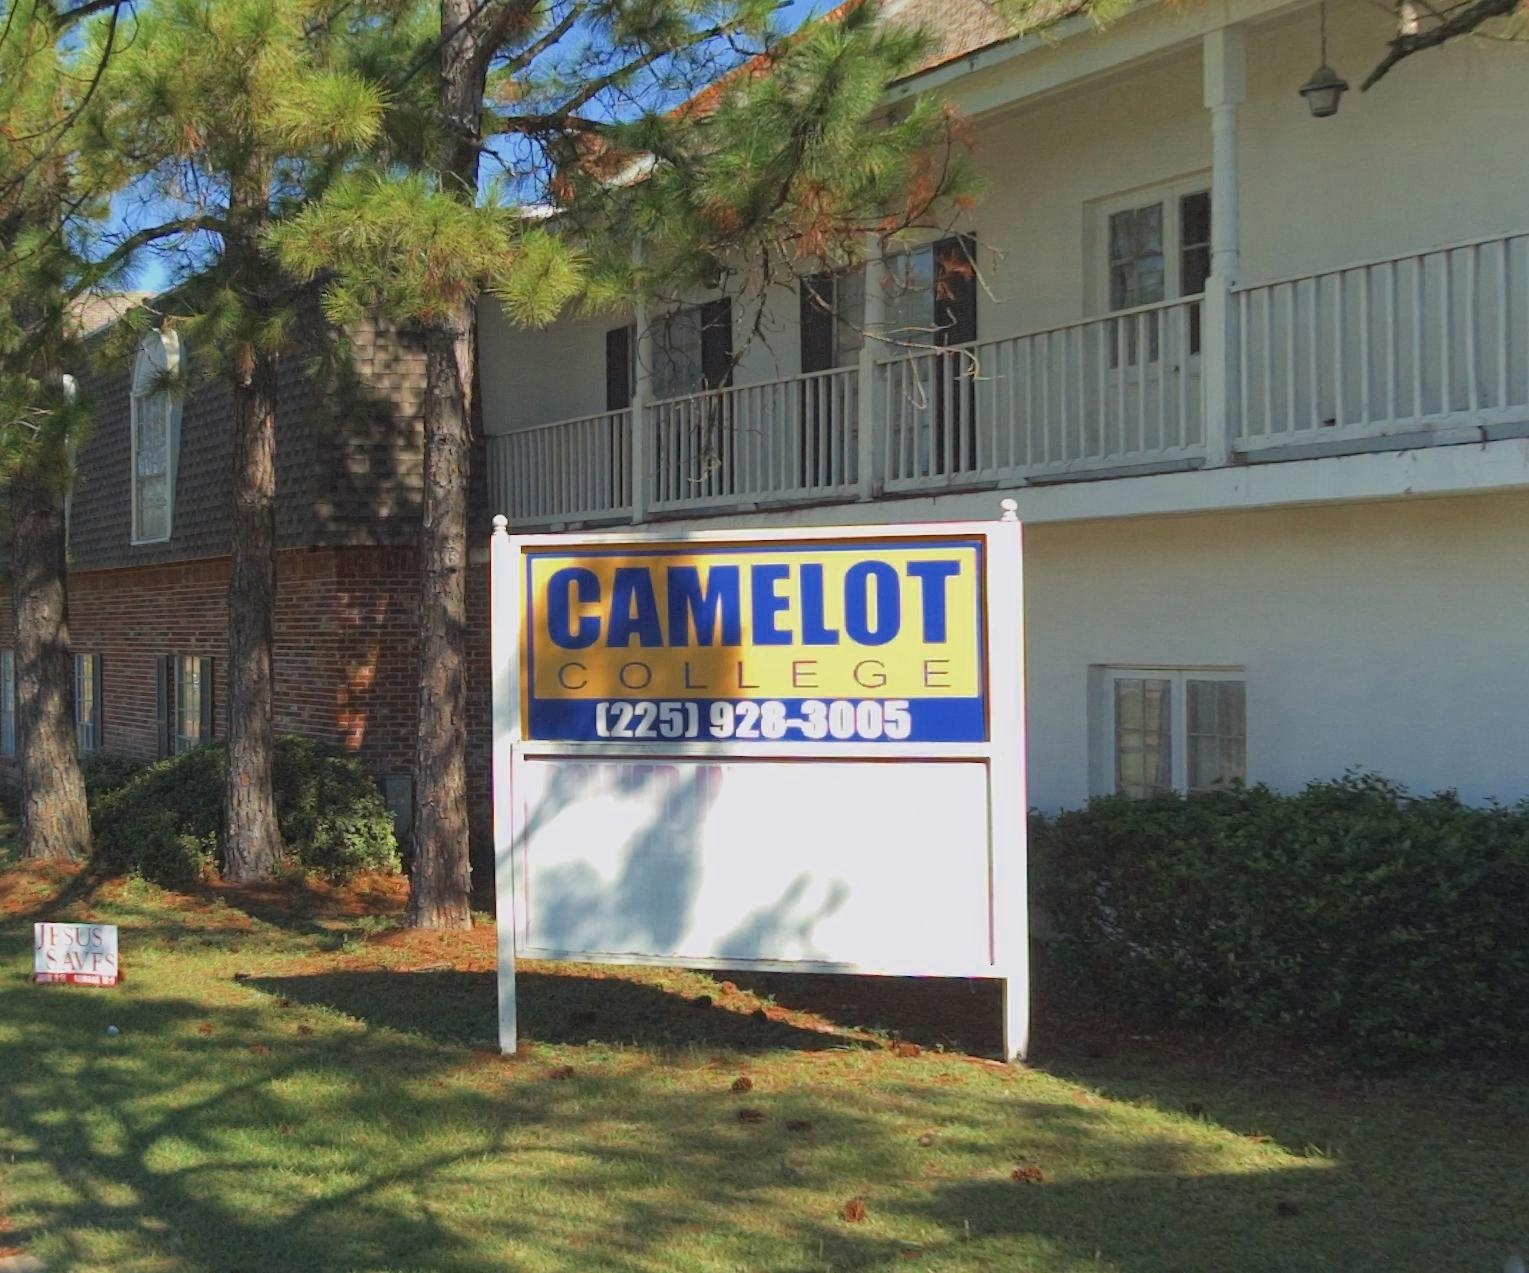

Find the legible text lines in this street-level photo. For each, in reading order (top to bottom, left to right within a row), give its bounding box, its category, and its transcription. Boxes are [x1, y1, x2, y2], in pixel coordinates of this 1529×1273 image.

[542, 555, 965, 655] BusinessName: CAMELOT
[554, 655, 956, 694] BusinessName: COLLEGE
[607, 696, 916, 743] None: 225)928-3005
[33, 921, 105, 954] None: JESUS
[40, 946, 118, 976] None: SAVES